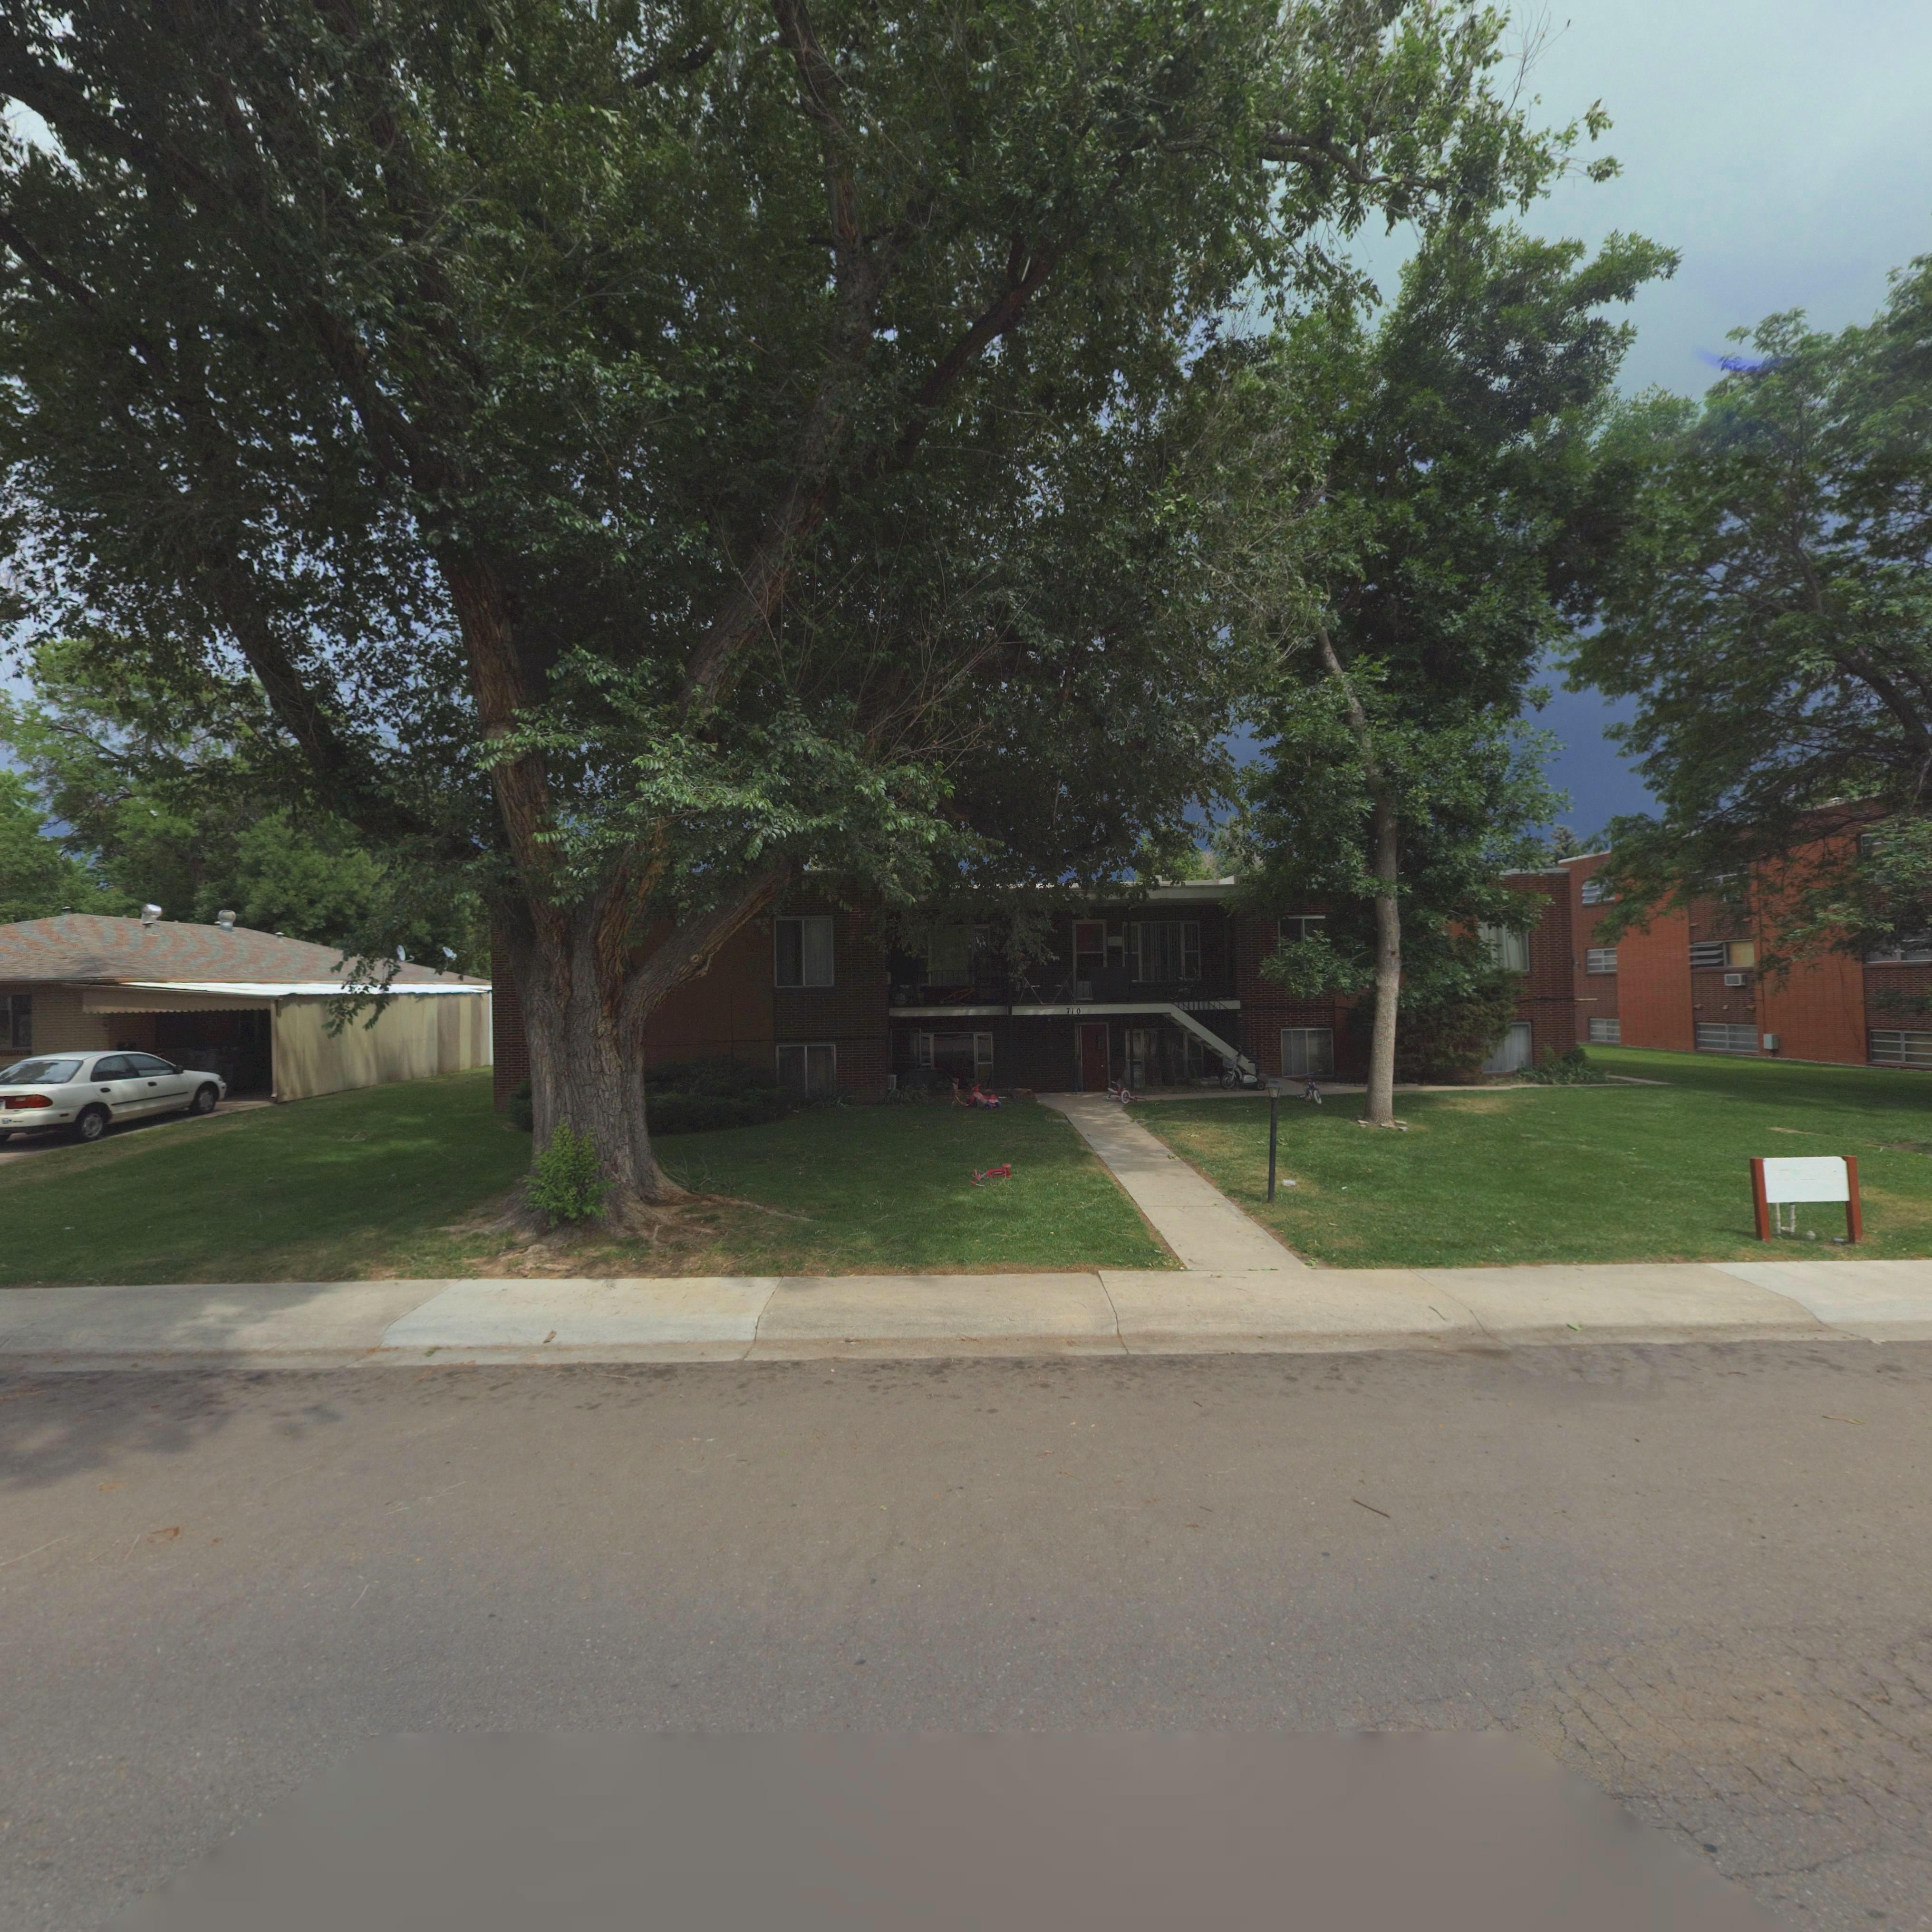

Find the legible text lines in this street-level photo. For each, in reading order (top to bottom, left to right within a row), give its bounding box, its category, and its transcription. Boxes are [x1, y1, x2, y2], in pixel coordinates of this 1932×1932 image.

[1066, 1007, 1081, 1014] StreetNumber: 710